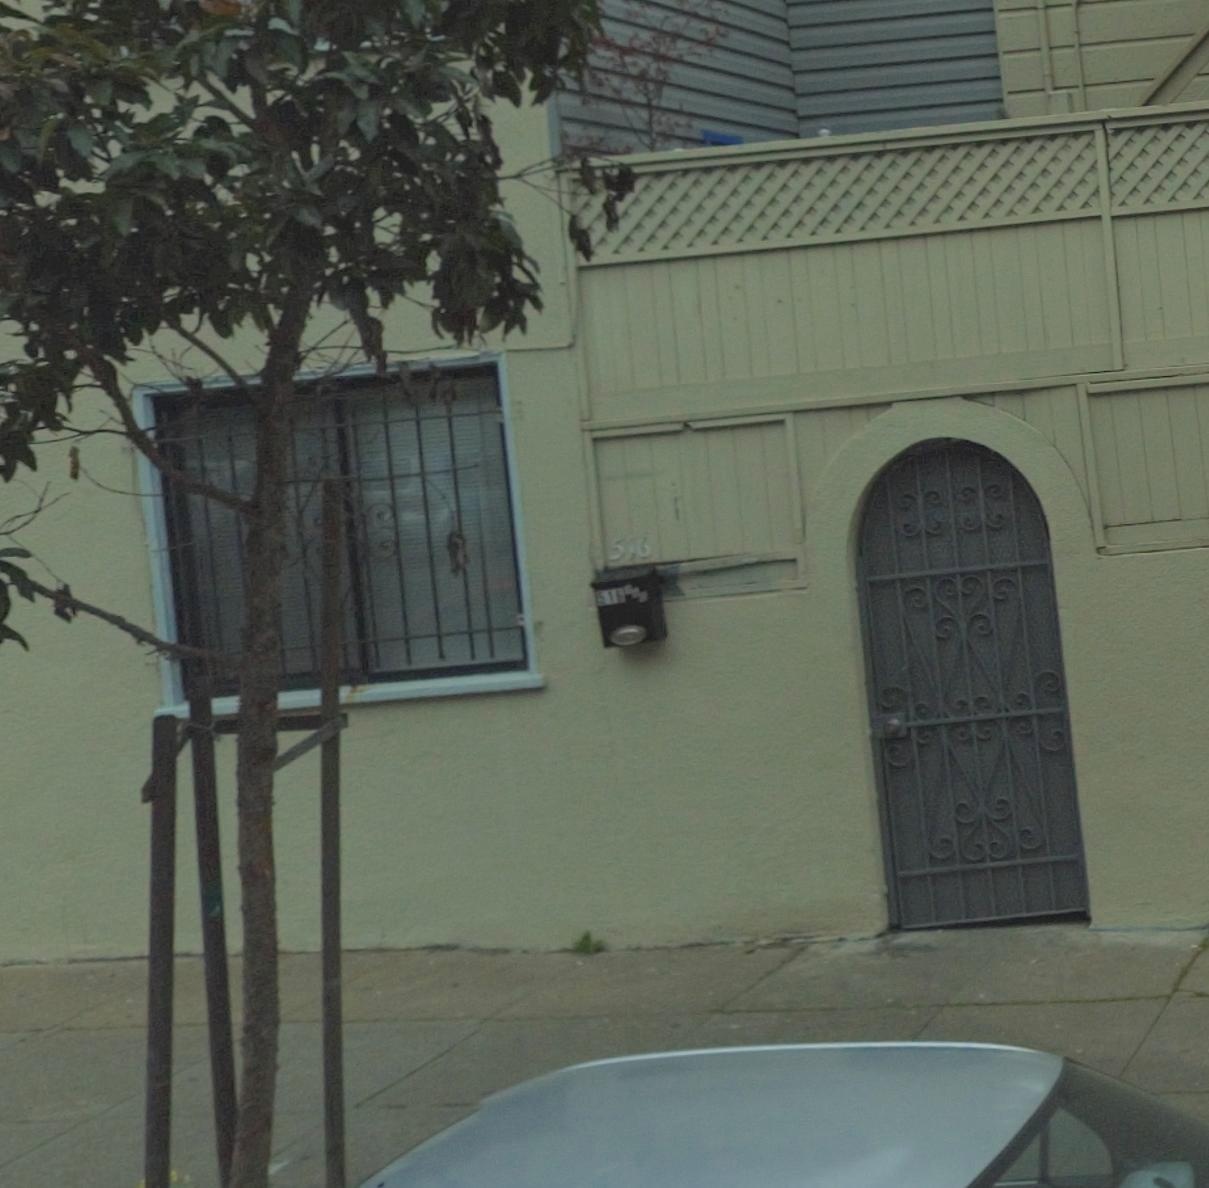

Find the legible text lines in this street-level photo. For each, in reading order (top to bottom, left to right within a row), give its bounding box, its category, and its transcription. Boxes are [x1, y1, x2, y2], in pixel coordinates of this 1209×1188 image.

[607, 532, 653, 563] StreetNumber: 516
[595, 587, 627, 607] StreetNumber: 516